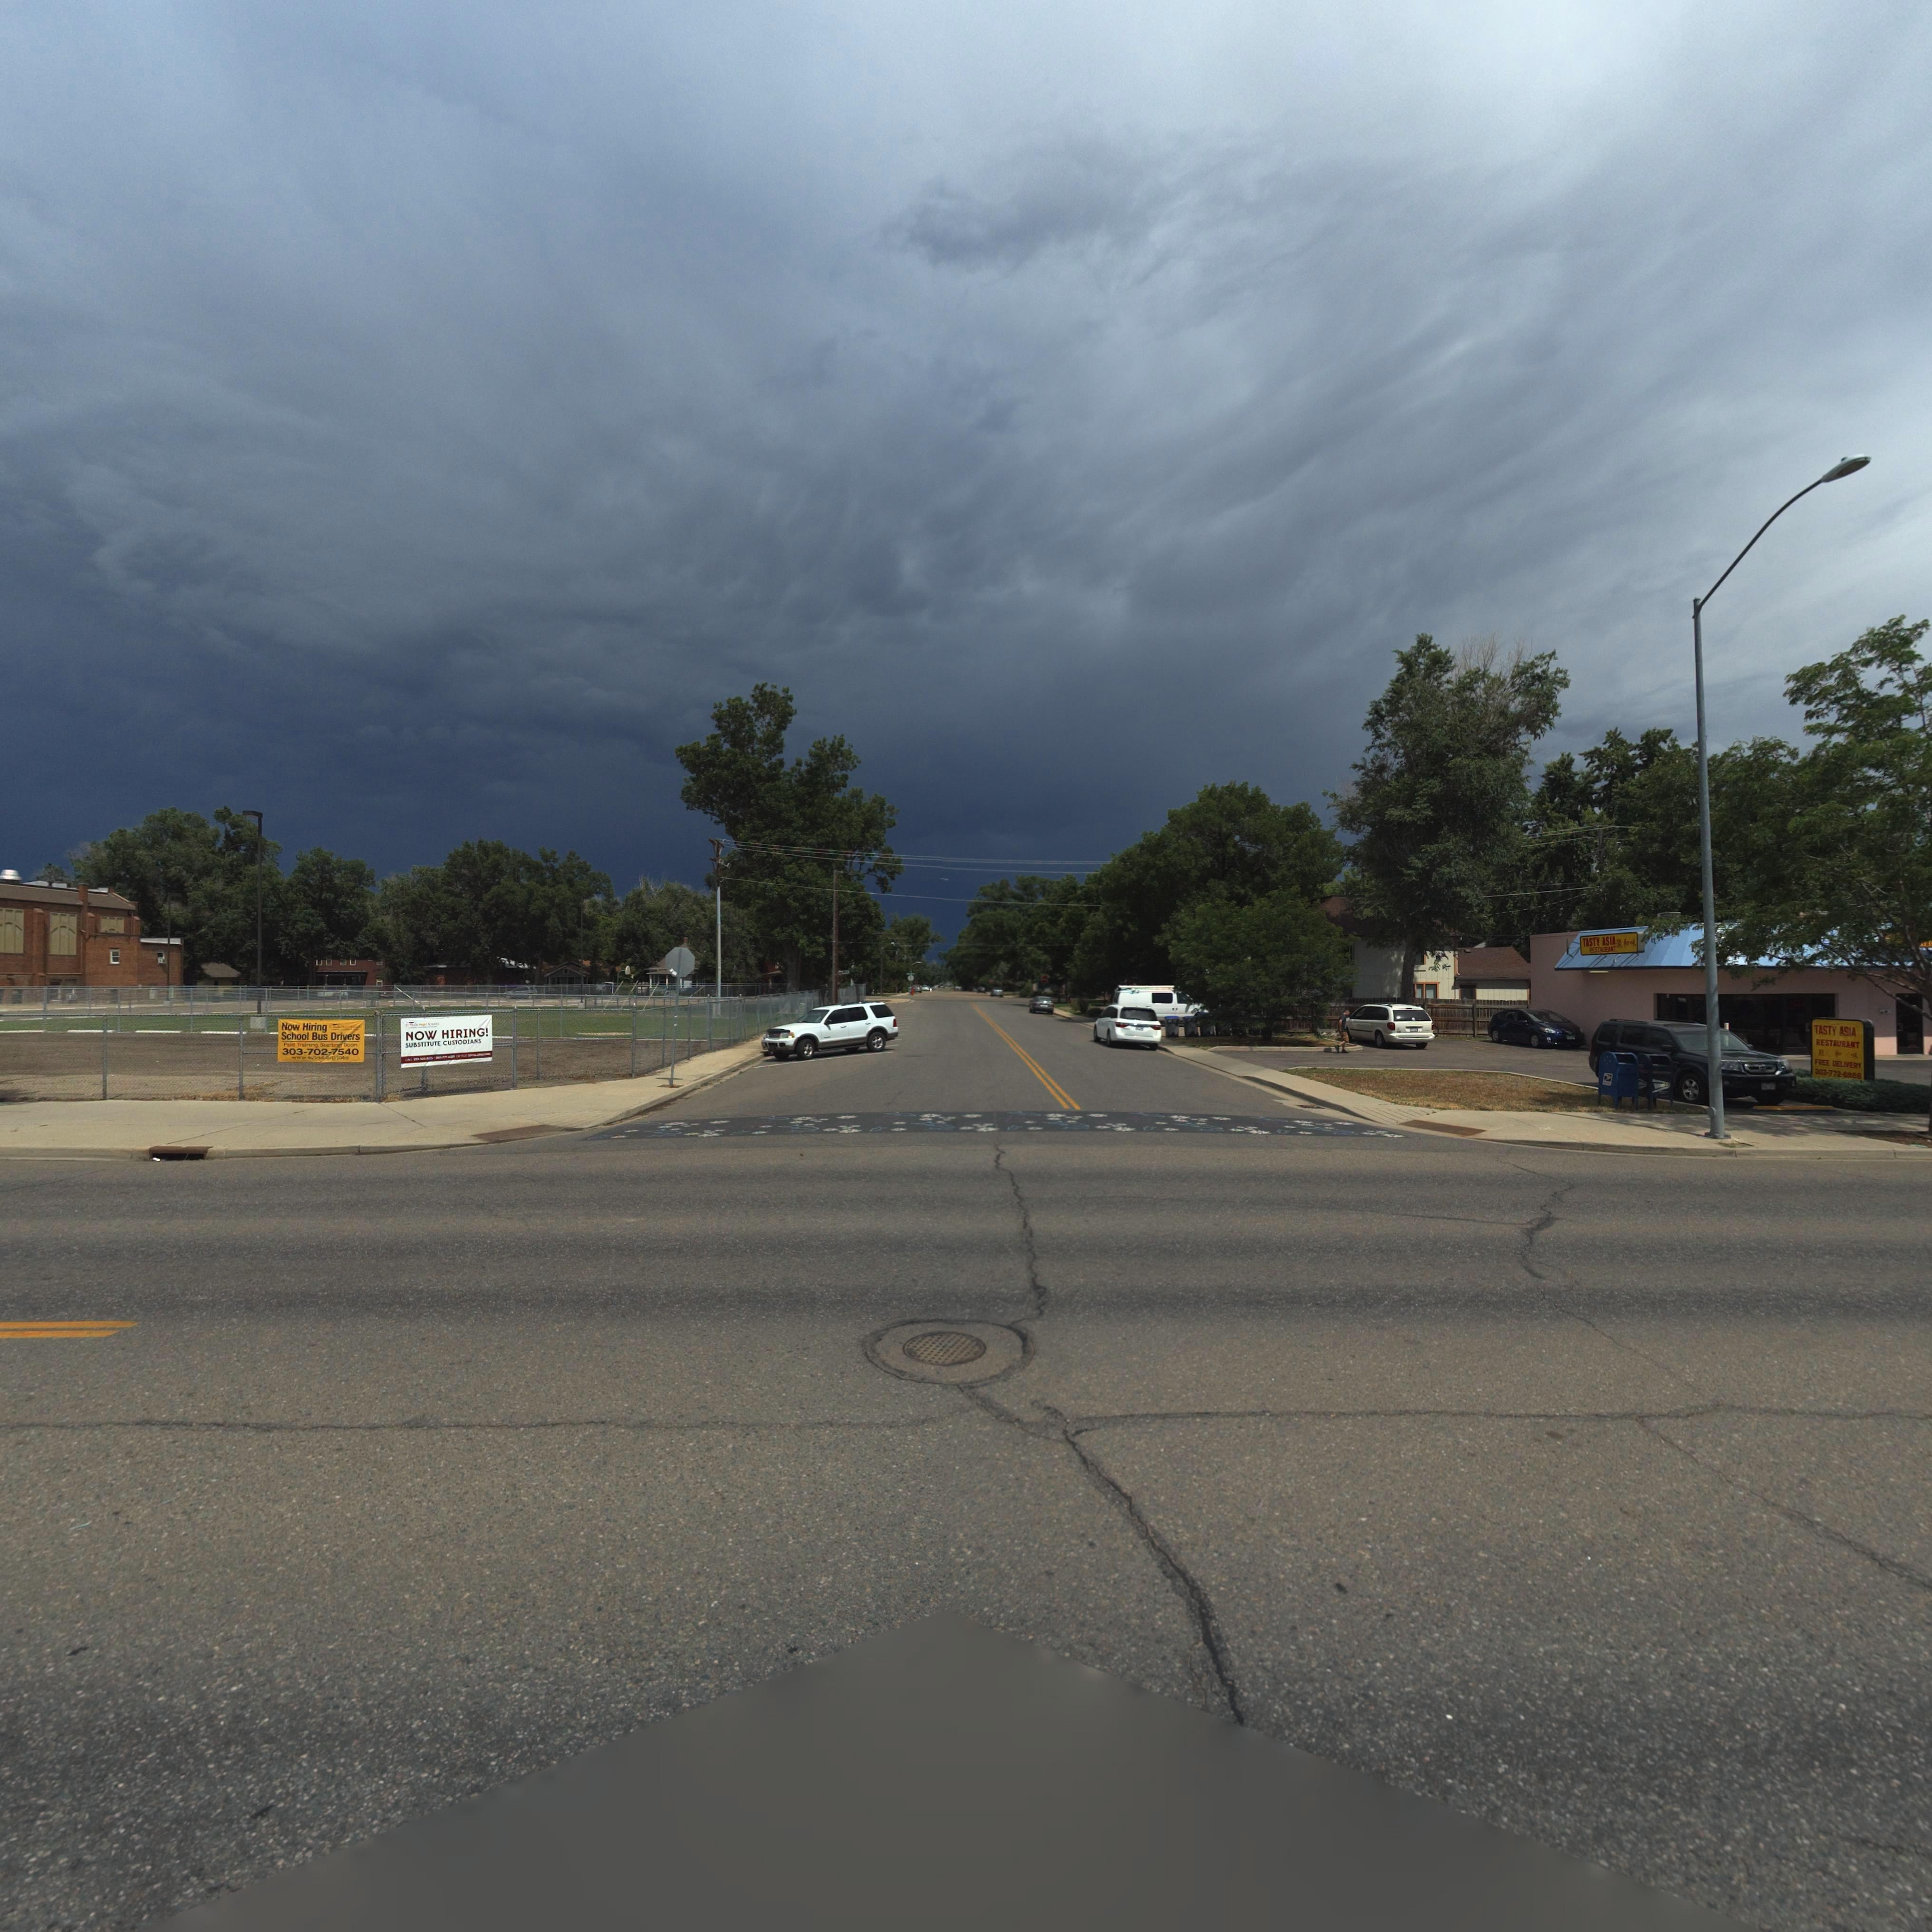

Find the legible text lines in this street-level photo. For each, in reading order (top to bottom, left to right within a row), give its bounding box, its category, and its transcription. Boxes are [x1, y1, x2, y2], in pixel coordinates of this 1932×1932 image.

[1582, 935, 1616, 947] BusinessName: TASTY ASIA
[1589, 946, 1616, 953] BusinessName: RESTAURANT
[1814, 1024, 1856, 1036] BusinessName: TASTY ASIA
[1816, 1038, 1860, 1049] BusinessName: RESTAURANT